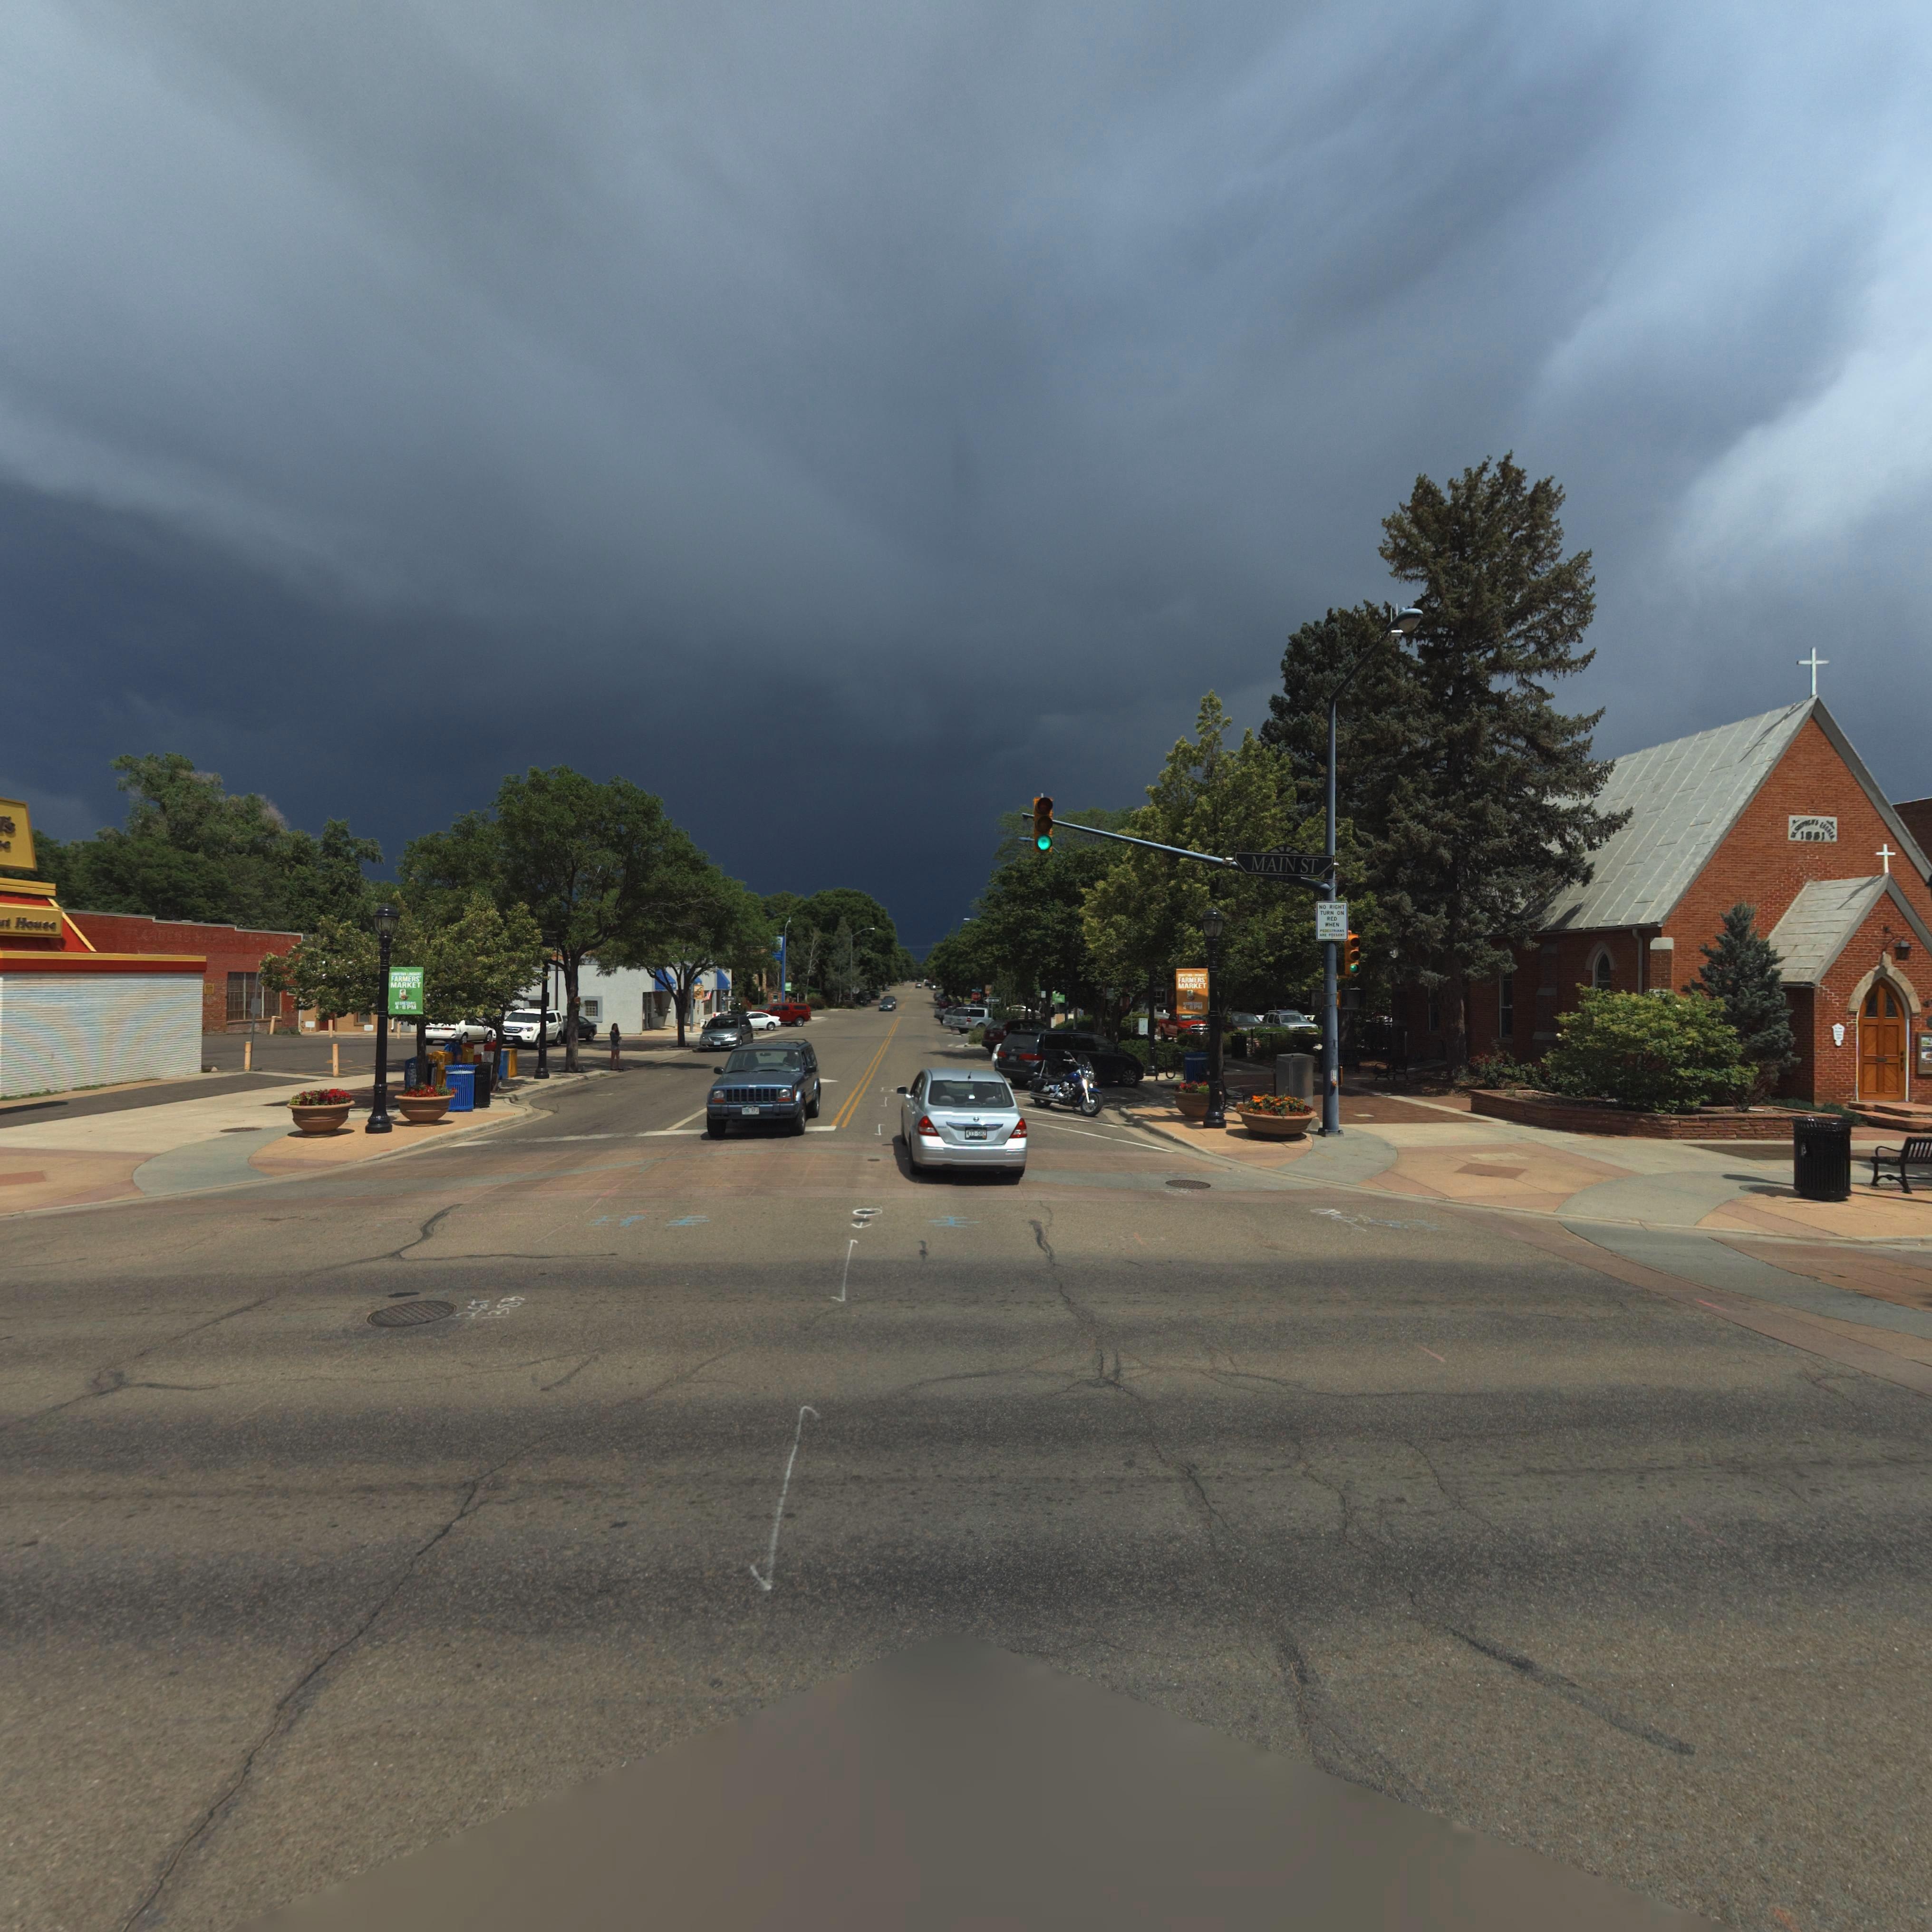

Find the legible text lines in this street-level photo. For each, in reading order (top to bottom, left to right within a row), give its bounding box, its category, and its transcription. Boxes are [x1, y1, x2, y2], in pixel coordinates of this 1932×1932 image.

[1, 815, 16, 834] BusinessName: 's
[1790, 819, 1835, 840] BusinessName: ST ******** ******
[1, 840, 12, 849] BusinessName: e
[1250, 856, 1318, 873] StreetName: MAIN ST
[1276, 875, 1288, 880] StreetNumber: *00
[4, 917, 57, 929] BusinessName: t House